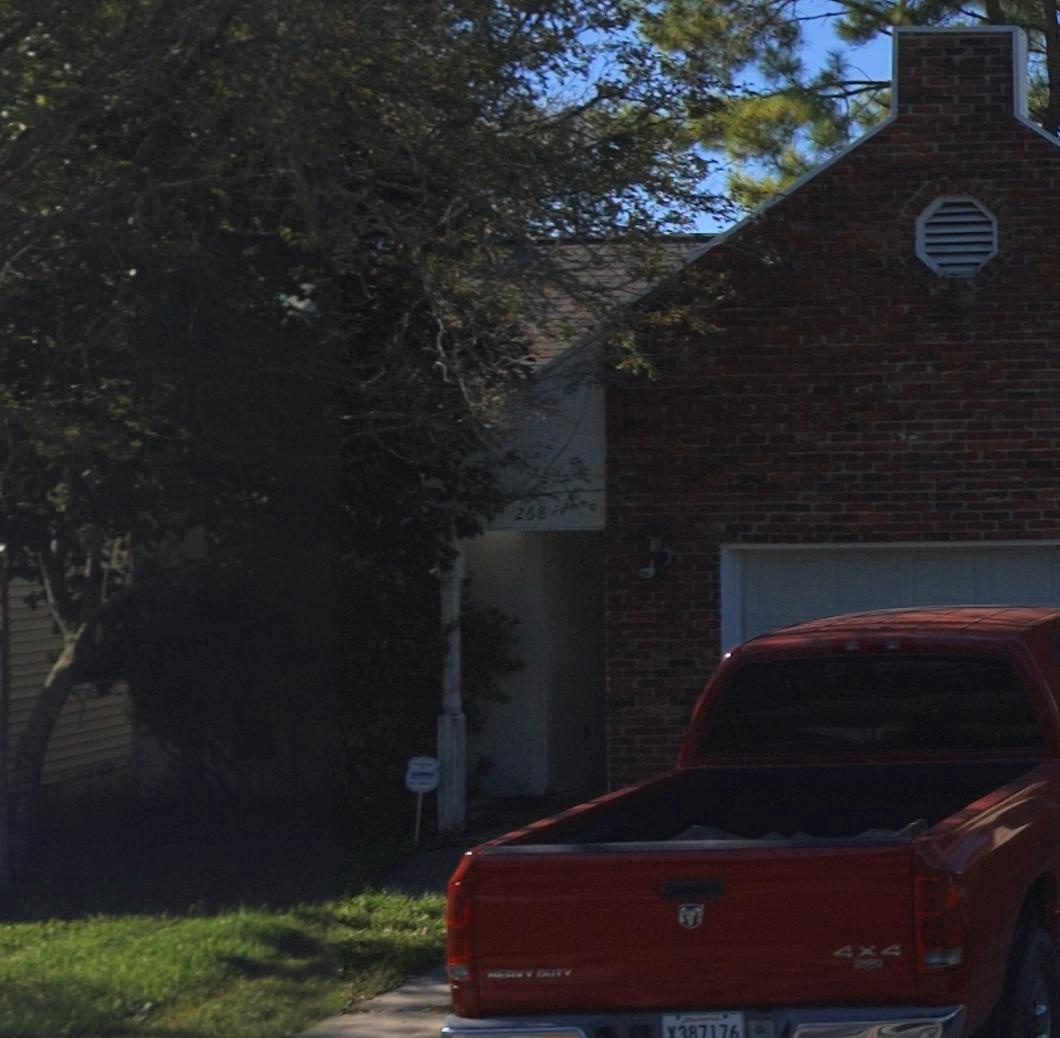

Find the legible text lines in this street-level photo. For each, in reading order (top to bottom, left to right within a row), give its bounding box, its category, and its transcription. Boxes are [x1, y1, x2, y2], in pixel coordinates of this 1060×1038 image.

[514, 505, 547, 520] StreetNumber: 268
[830, 940, 903, 959] None: 4X4
[486, 965, 575, 979] None: HEAVY DUTY